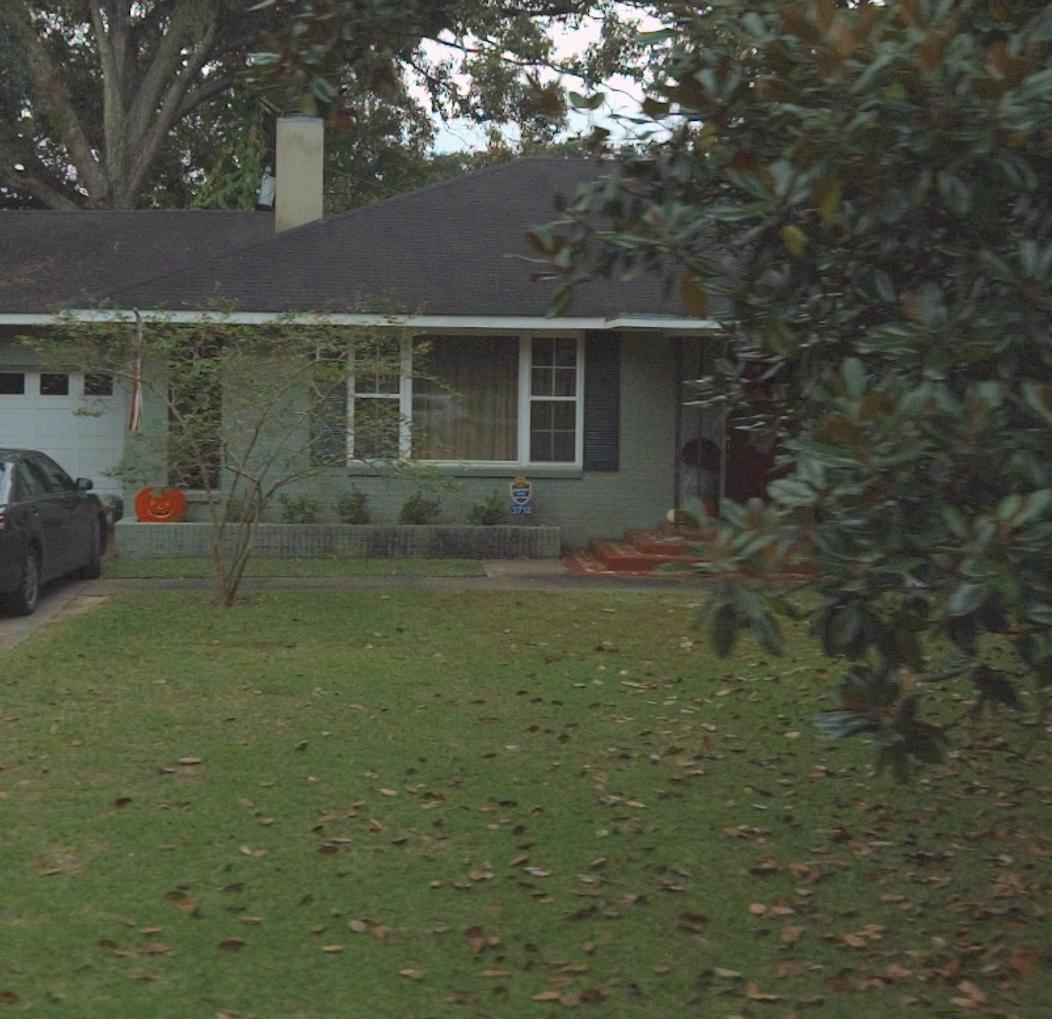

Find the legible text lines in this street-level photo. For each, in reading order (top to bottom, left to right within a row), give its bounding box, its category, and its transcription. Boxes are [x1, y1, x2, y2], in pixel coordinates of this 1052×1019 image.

[511, 506, 532, 513] StreetNumber: 3712